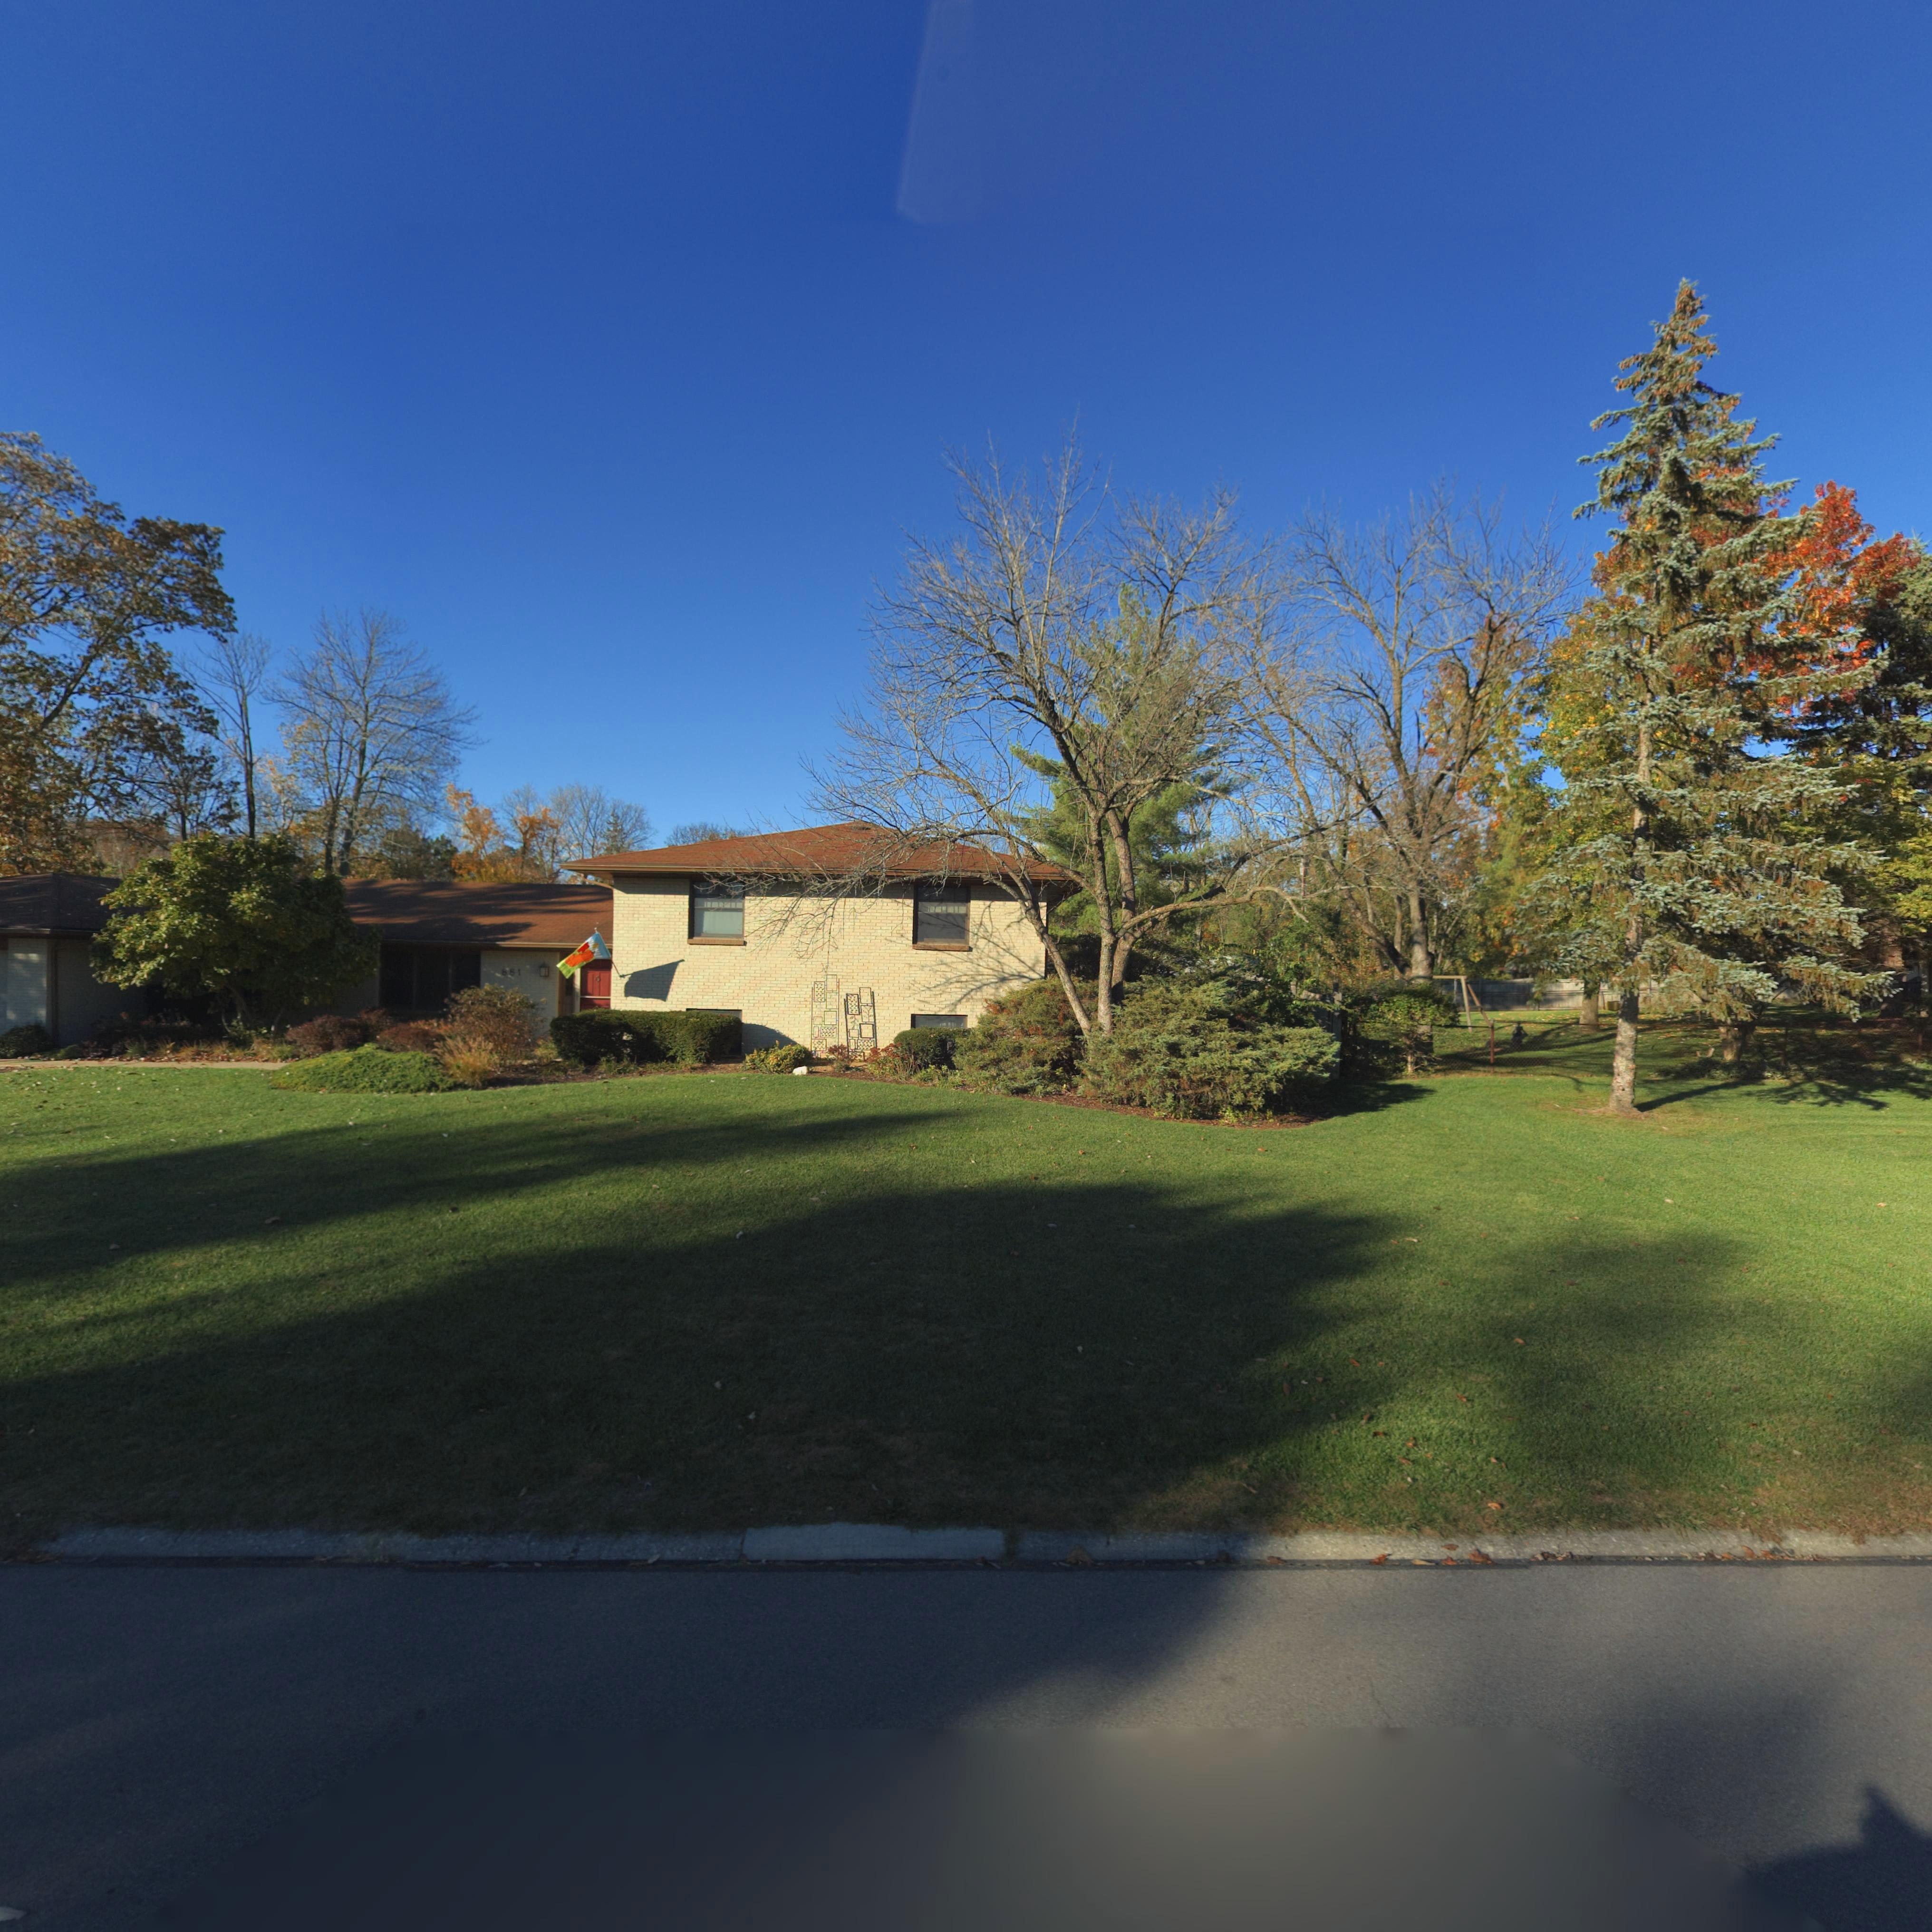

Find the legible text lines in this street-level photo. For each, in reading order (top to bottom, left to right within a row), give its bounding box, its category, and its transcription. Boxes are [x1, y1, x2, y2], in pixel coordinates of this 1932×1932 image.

[501, 967, 521, 976] StreetNumber: 881